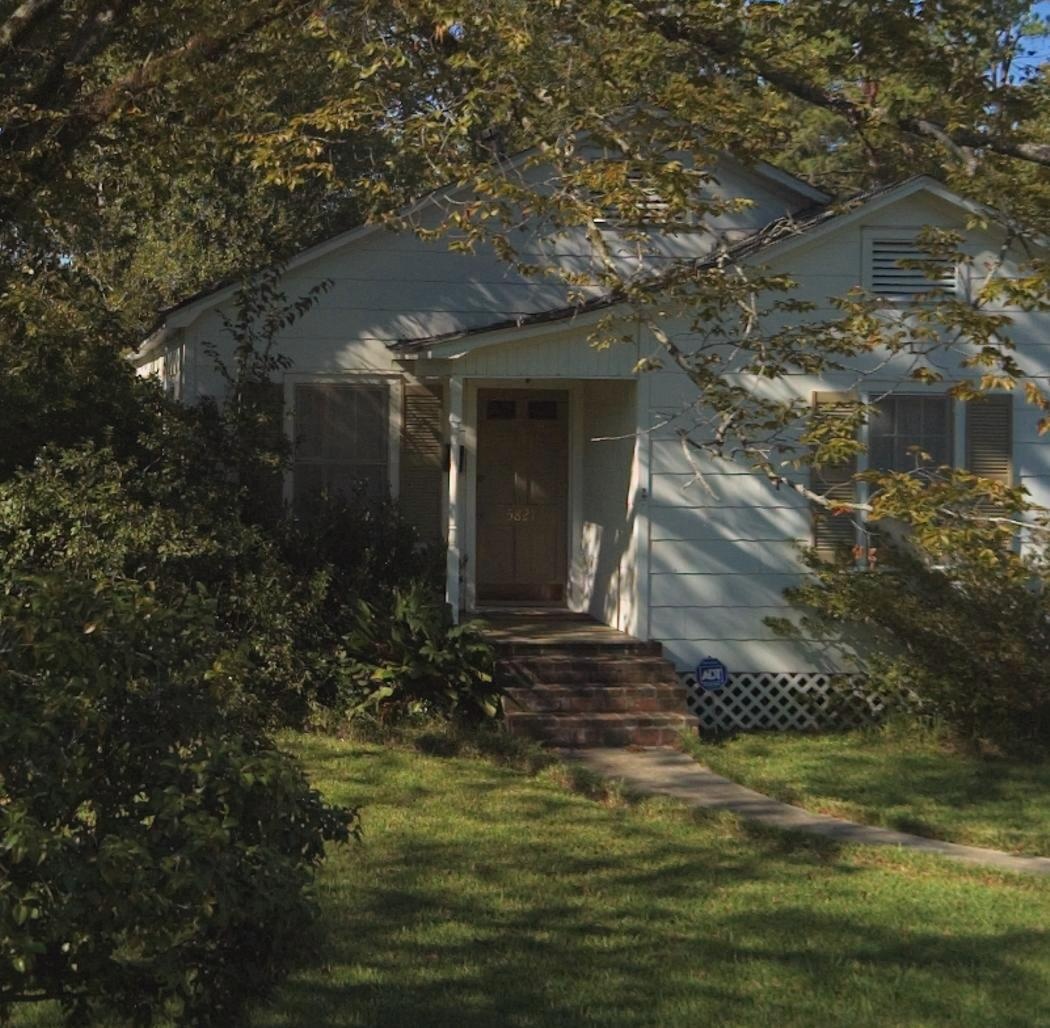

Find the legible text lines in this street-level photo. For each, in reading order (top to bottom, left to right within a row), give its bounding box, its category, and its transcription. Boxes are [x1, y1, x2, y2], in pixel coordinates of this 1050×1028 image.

[505, 507, 537, 523] StreetNumber: 5821
[701, 668, 723, 681] None: ADT